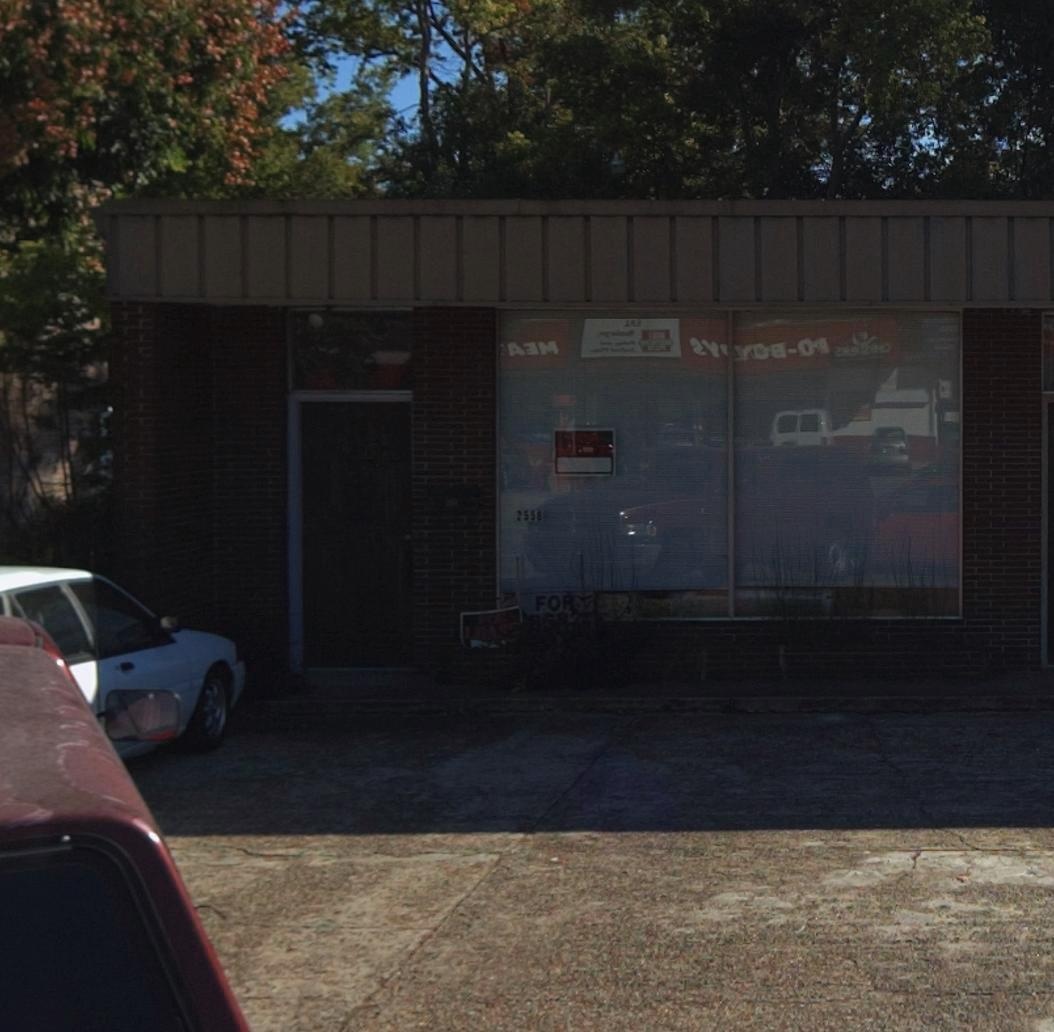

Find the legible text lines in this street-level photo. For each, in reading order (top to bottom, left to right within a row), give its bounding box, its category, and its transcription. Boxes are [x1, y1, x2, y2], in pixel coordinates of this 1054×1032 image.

[504, 338, 562, 360] None: A*M
[687, 334, 833, 362] None: *Y**O*-0*
[515, 507, 544, 524] StreetNumber: 2558
[533, 592, 577, 614] None: FO*